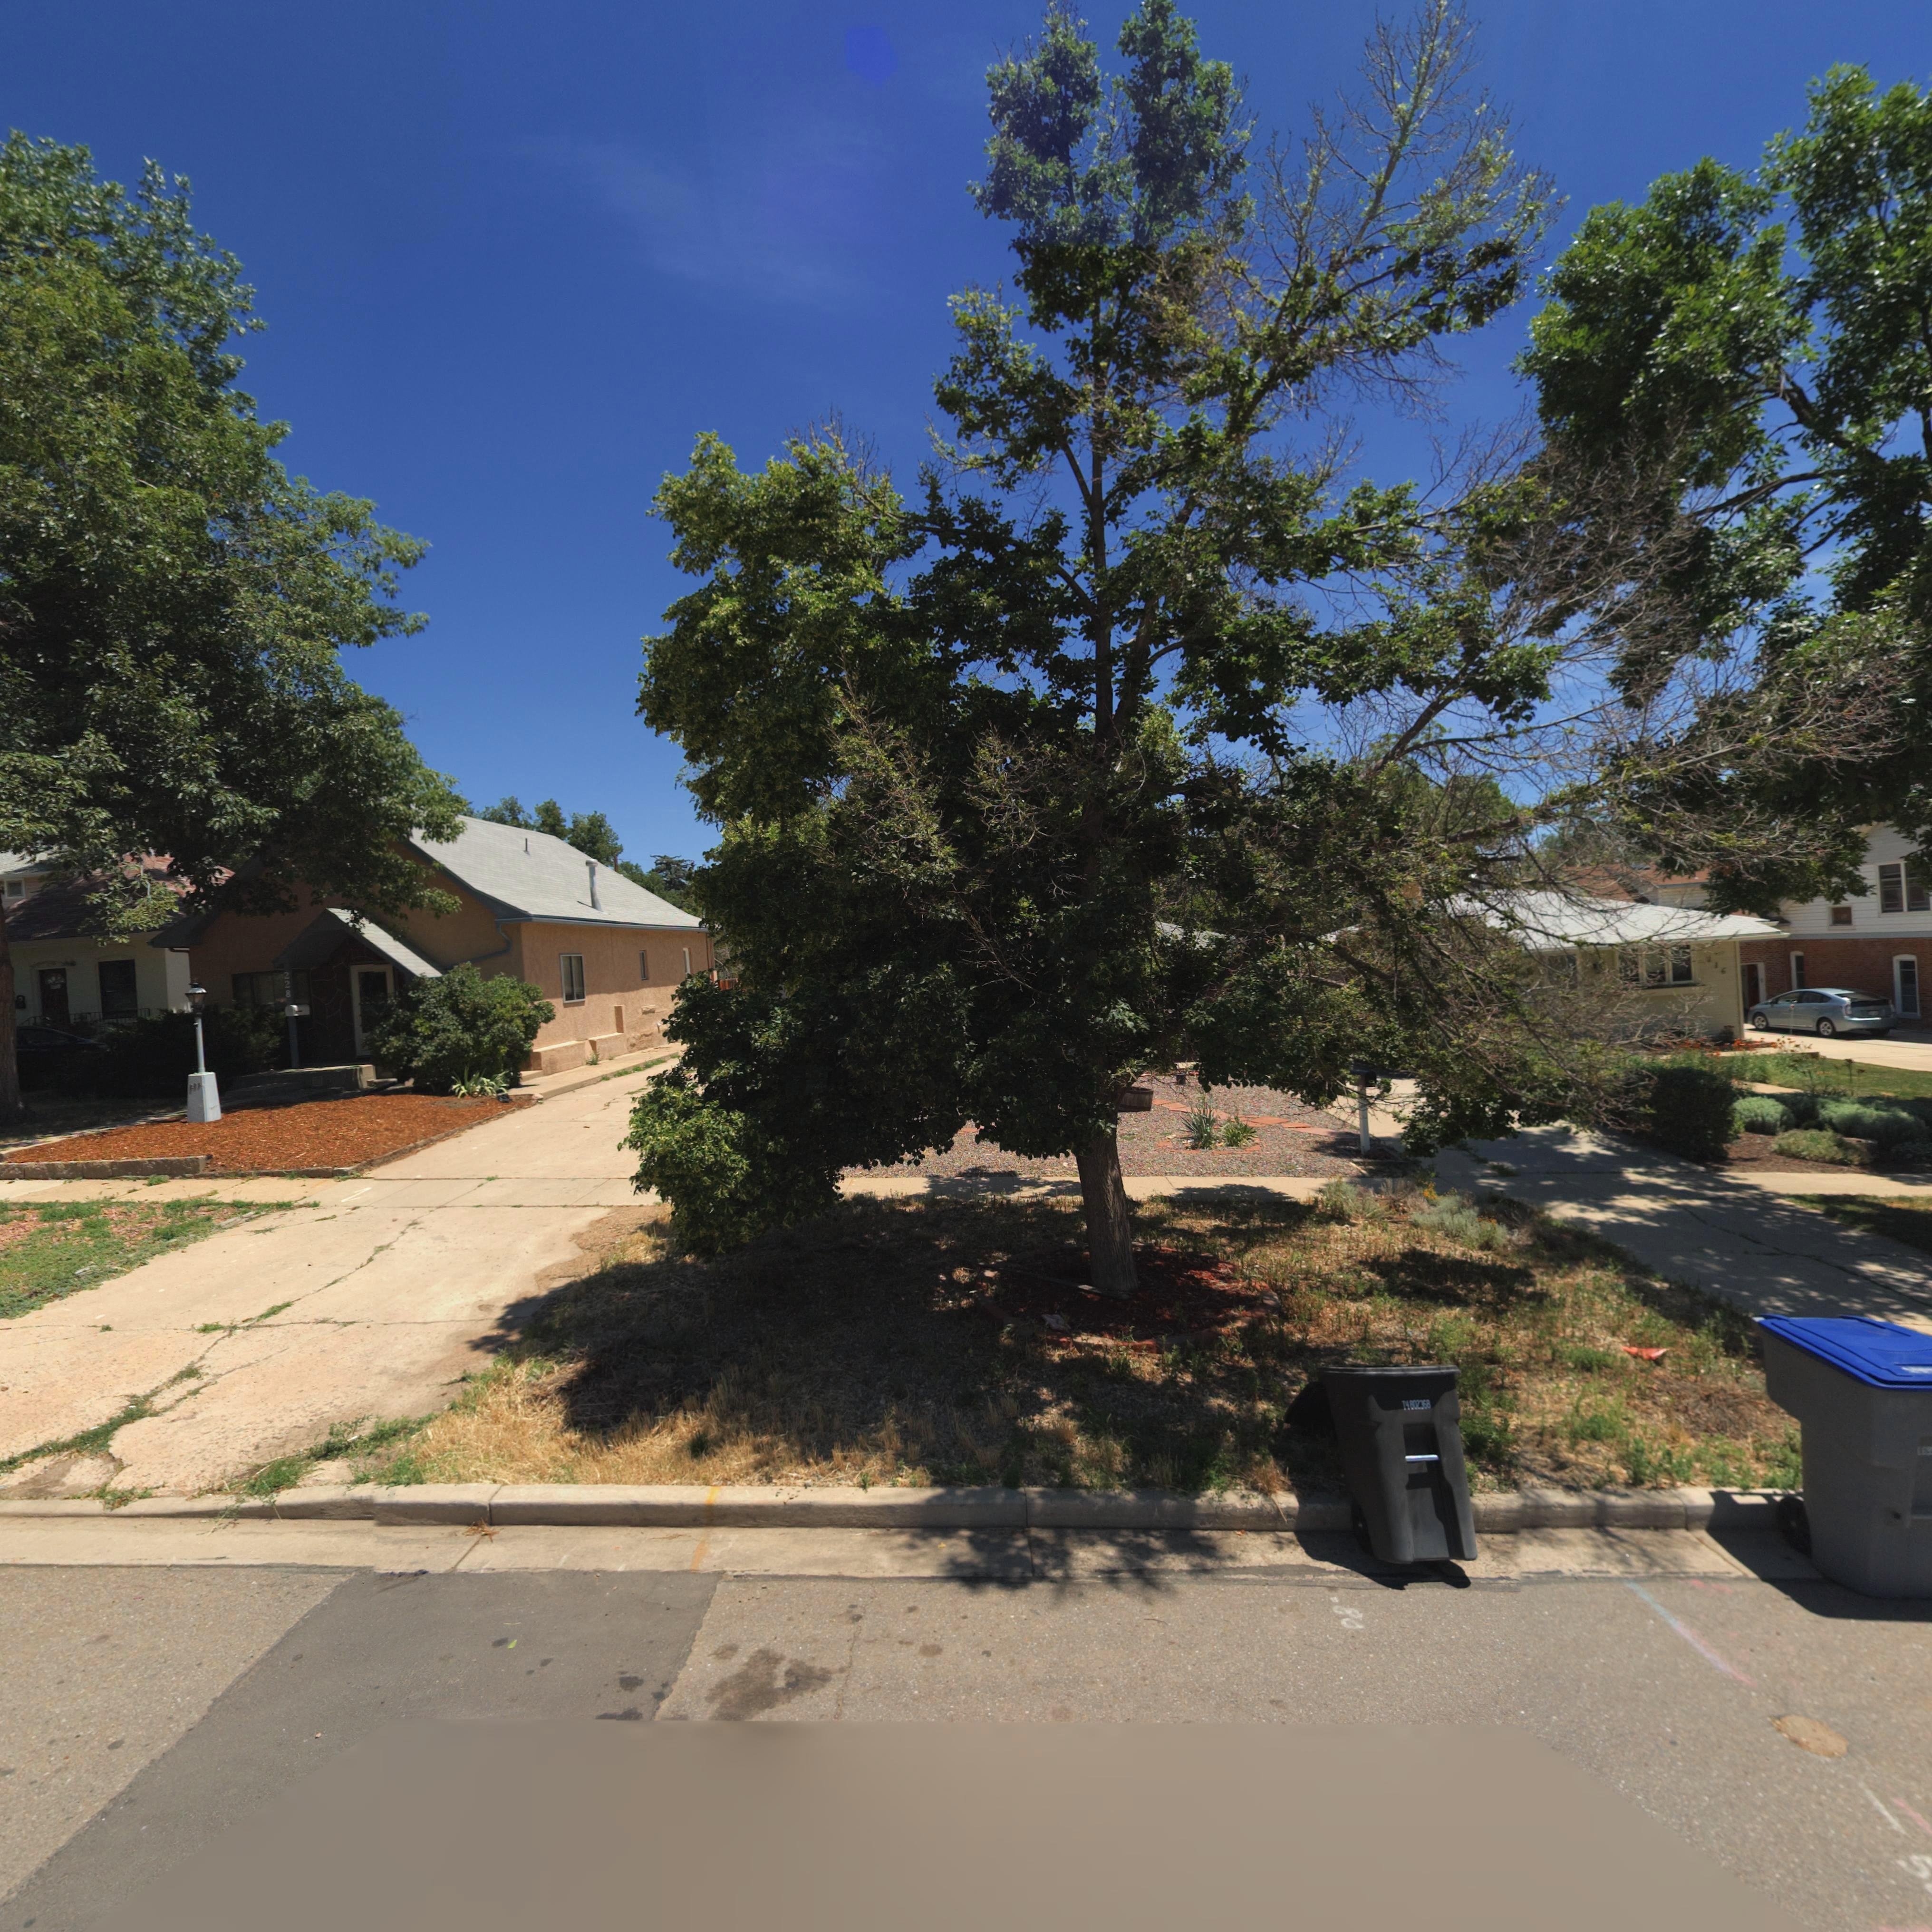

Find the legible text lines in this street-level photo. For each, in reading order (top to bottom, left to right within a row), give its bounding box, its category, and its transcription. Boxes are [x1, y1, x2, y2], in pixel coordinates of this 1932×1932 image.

[1706, 956, 1726, 974] StreetNumber: 216
[283, 972, 291, 998] StreetNumber: 228
[189, 1081, 201, 1090] StreetNumber: 2*8